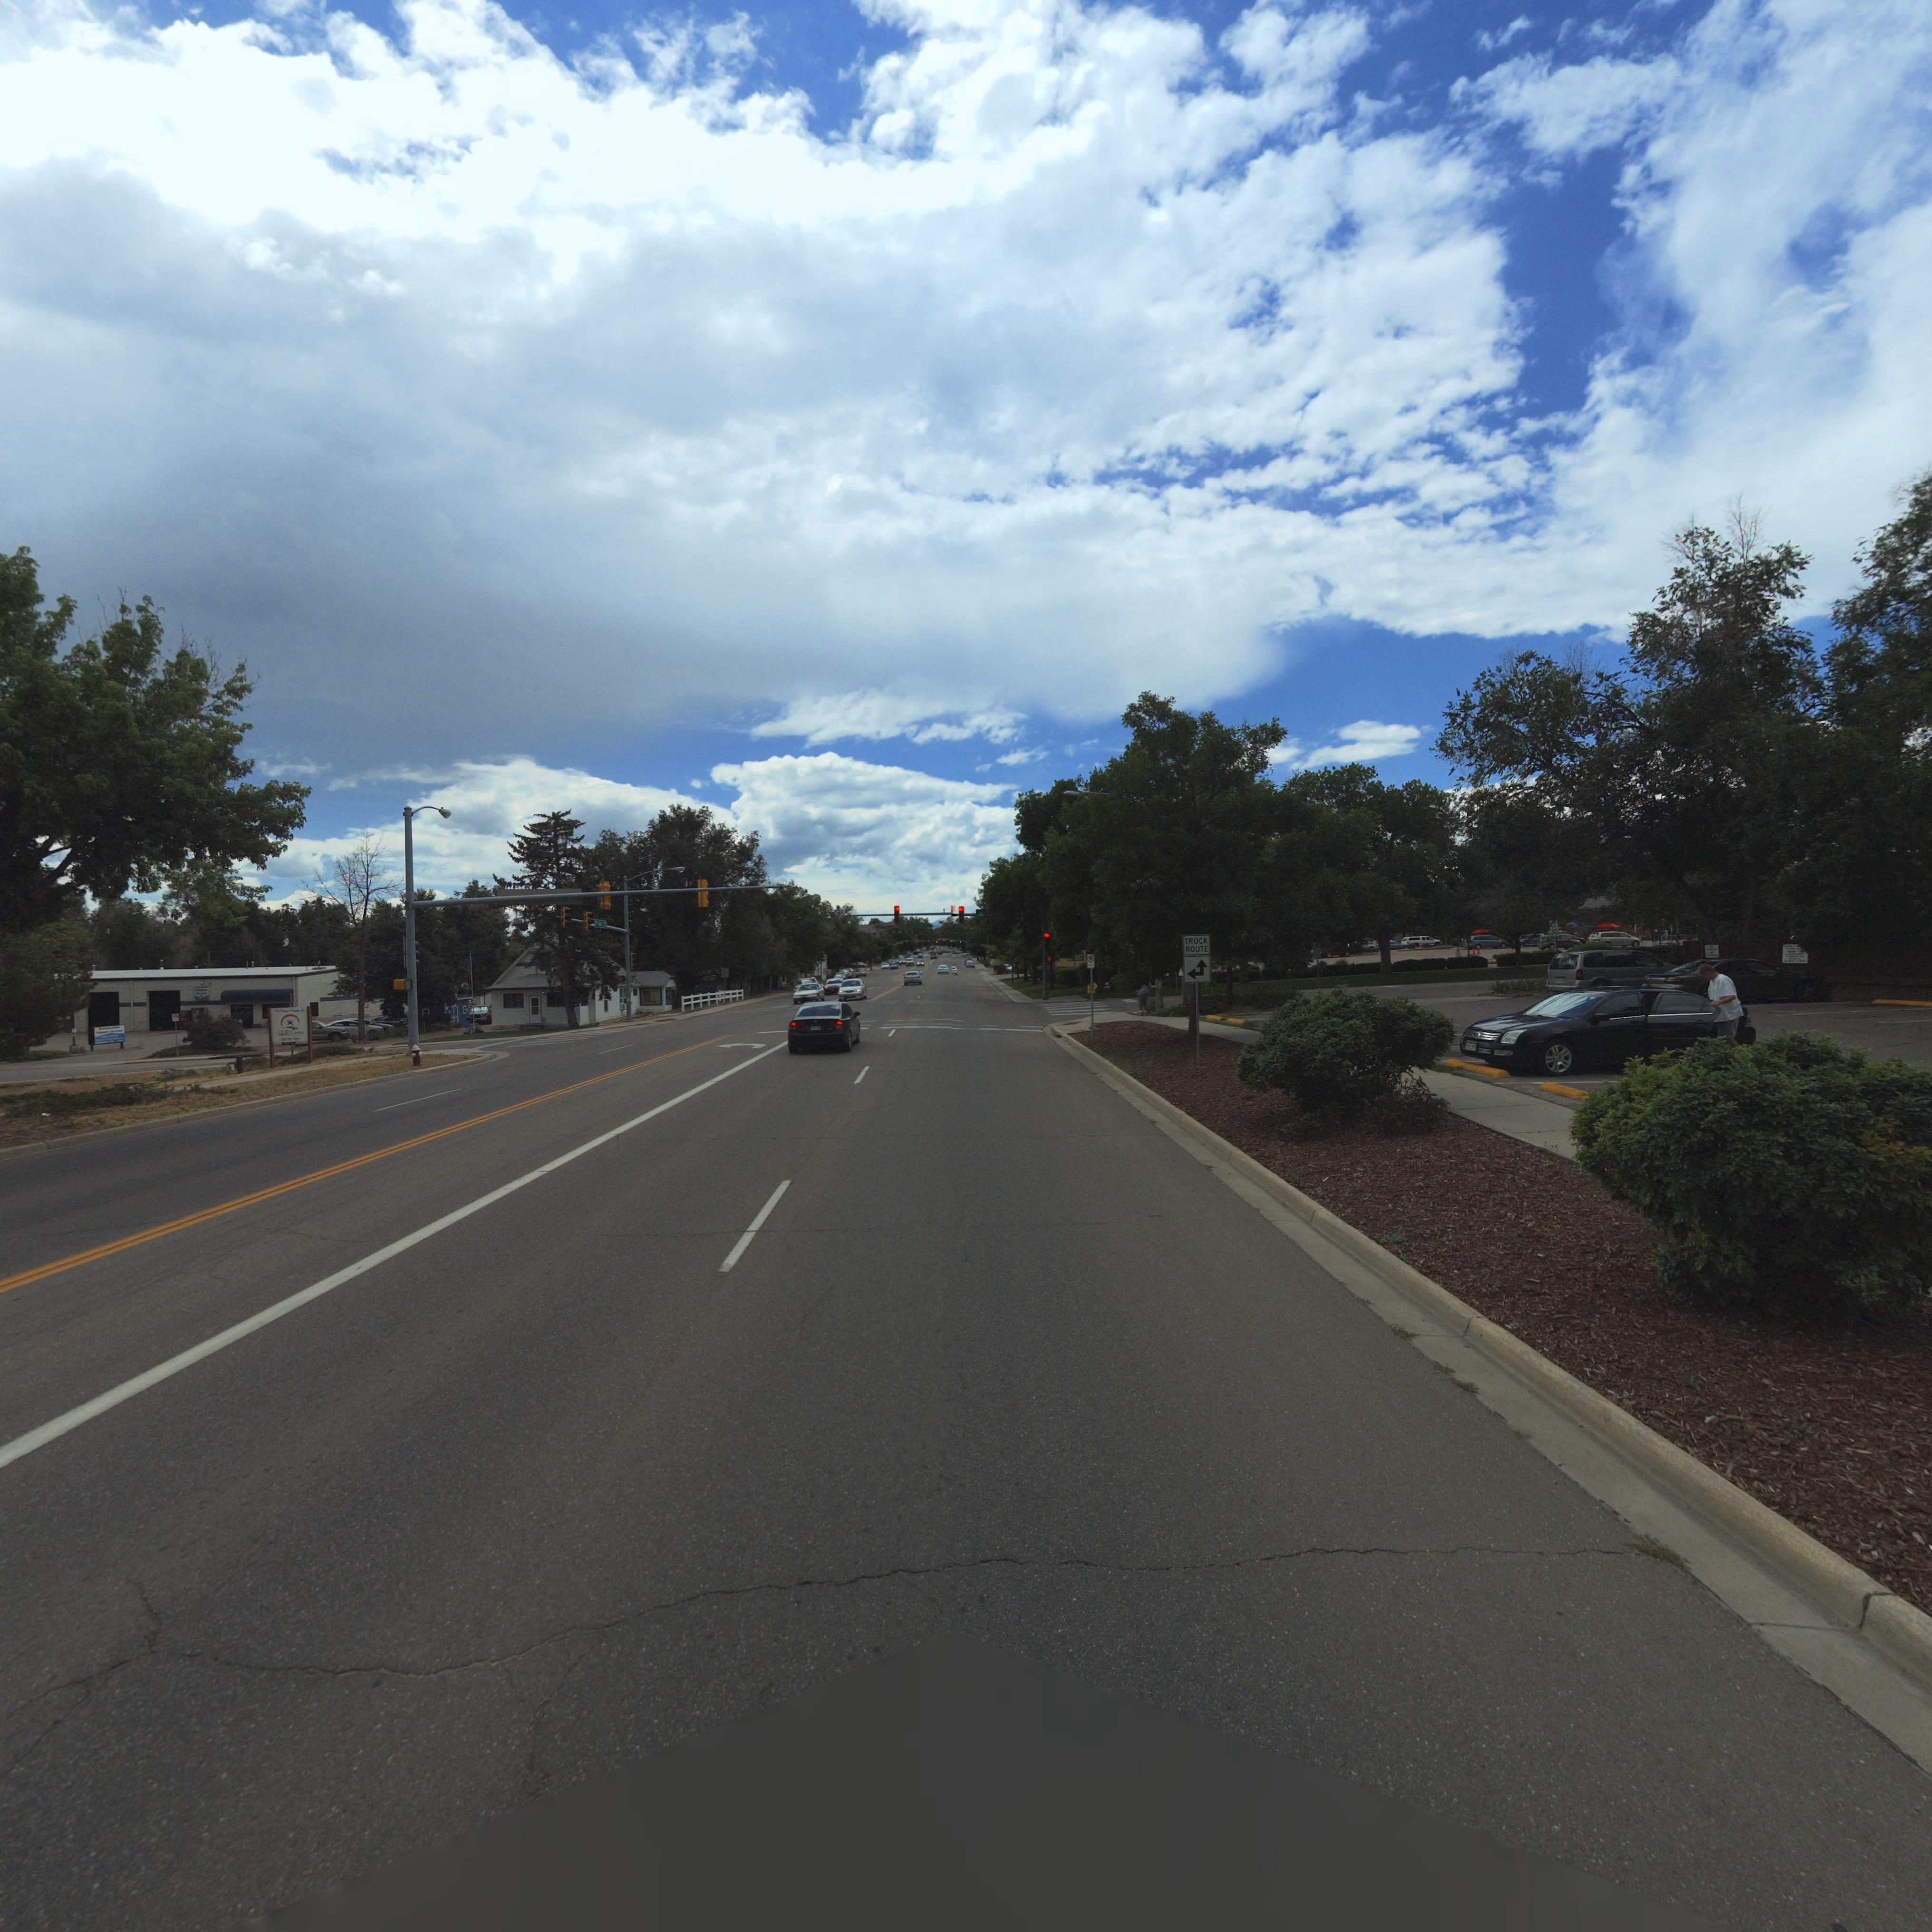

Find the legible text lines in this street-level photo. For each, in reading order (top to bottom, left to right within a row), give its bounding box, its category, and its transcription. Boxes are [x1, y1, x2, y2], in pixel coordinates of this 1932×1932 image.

[277, 1029, 304, 1034] BusinessName: OUR C*****